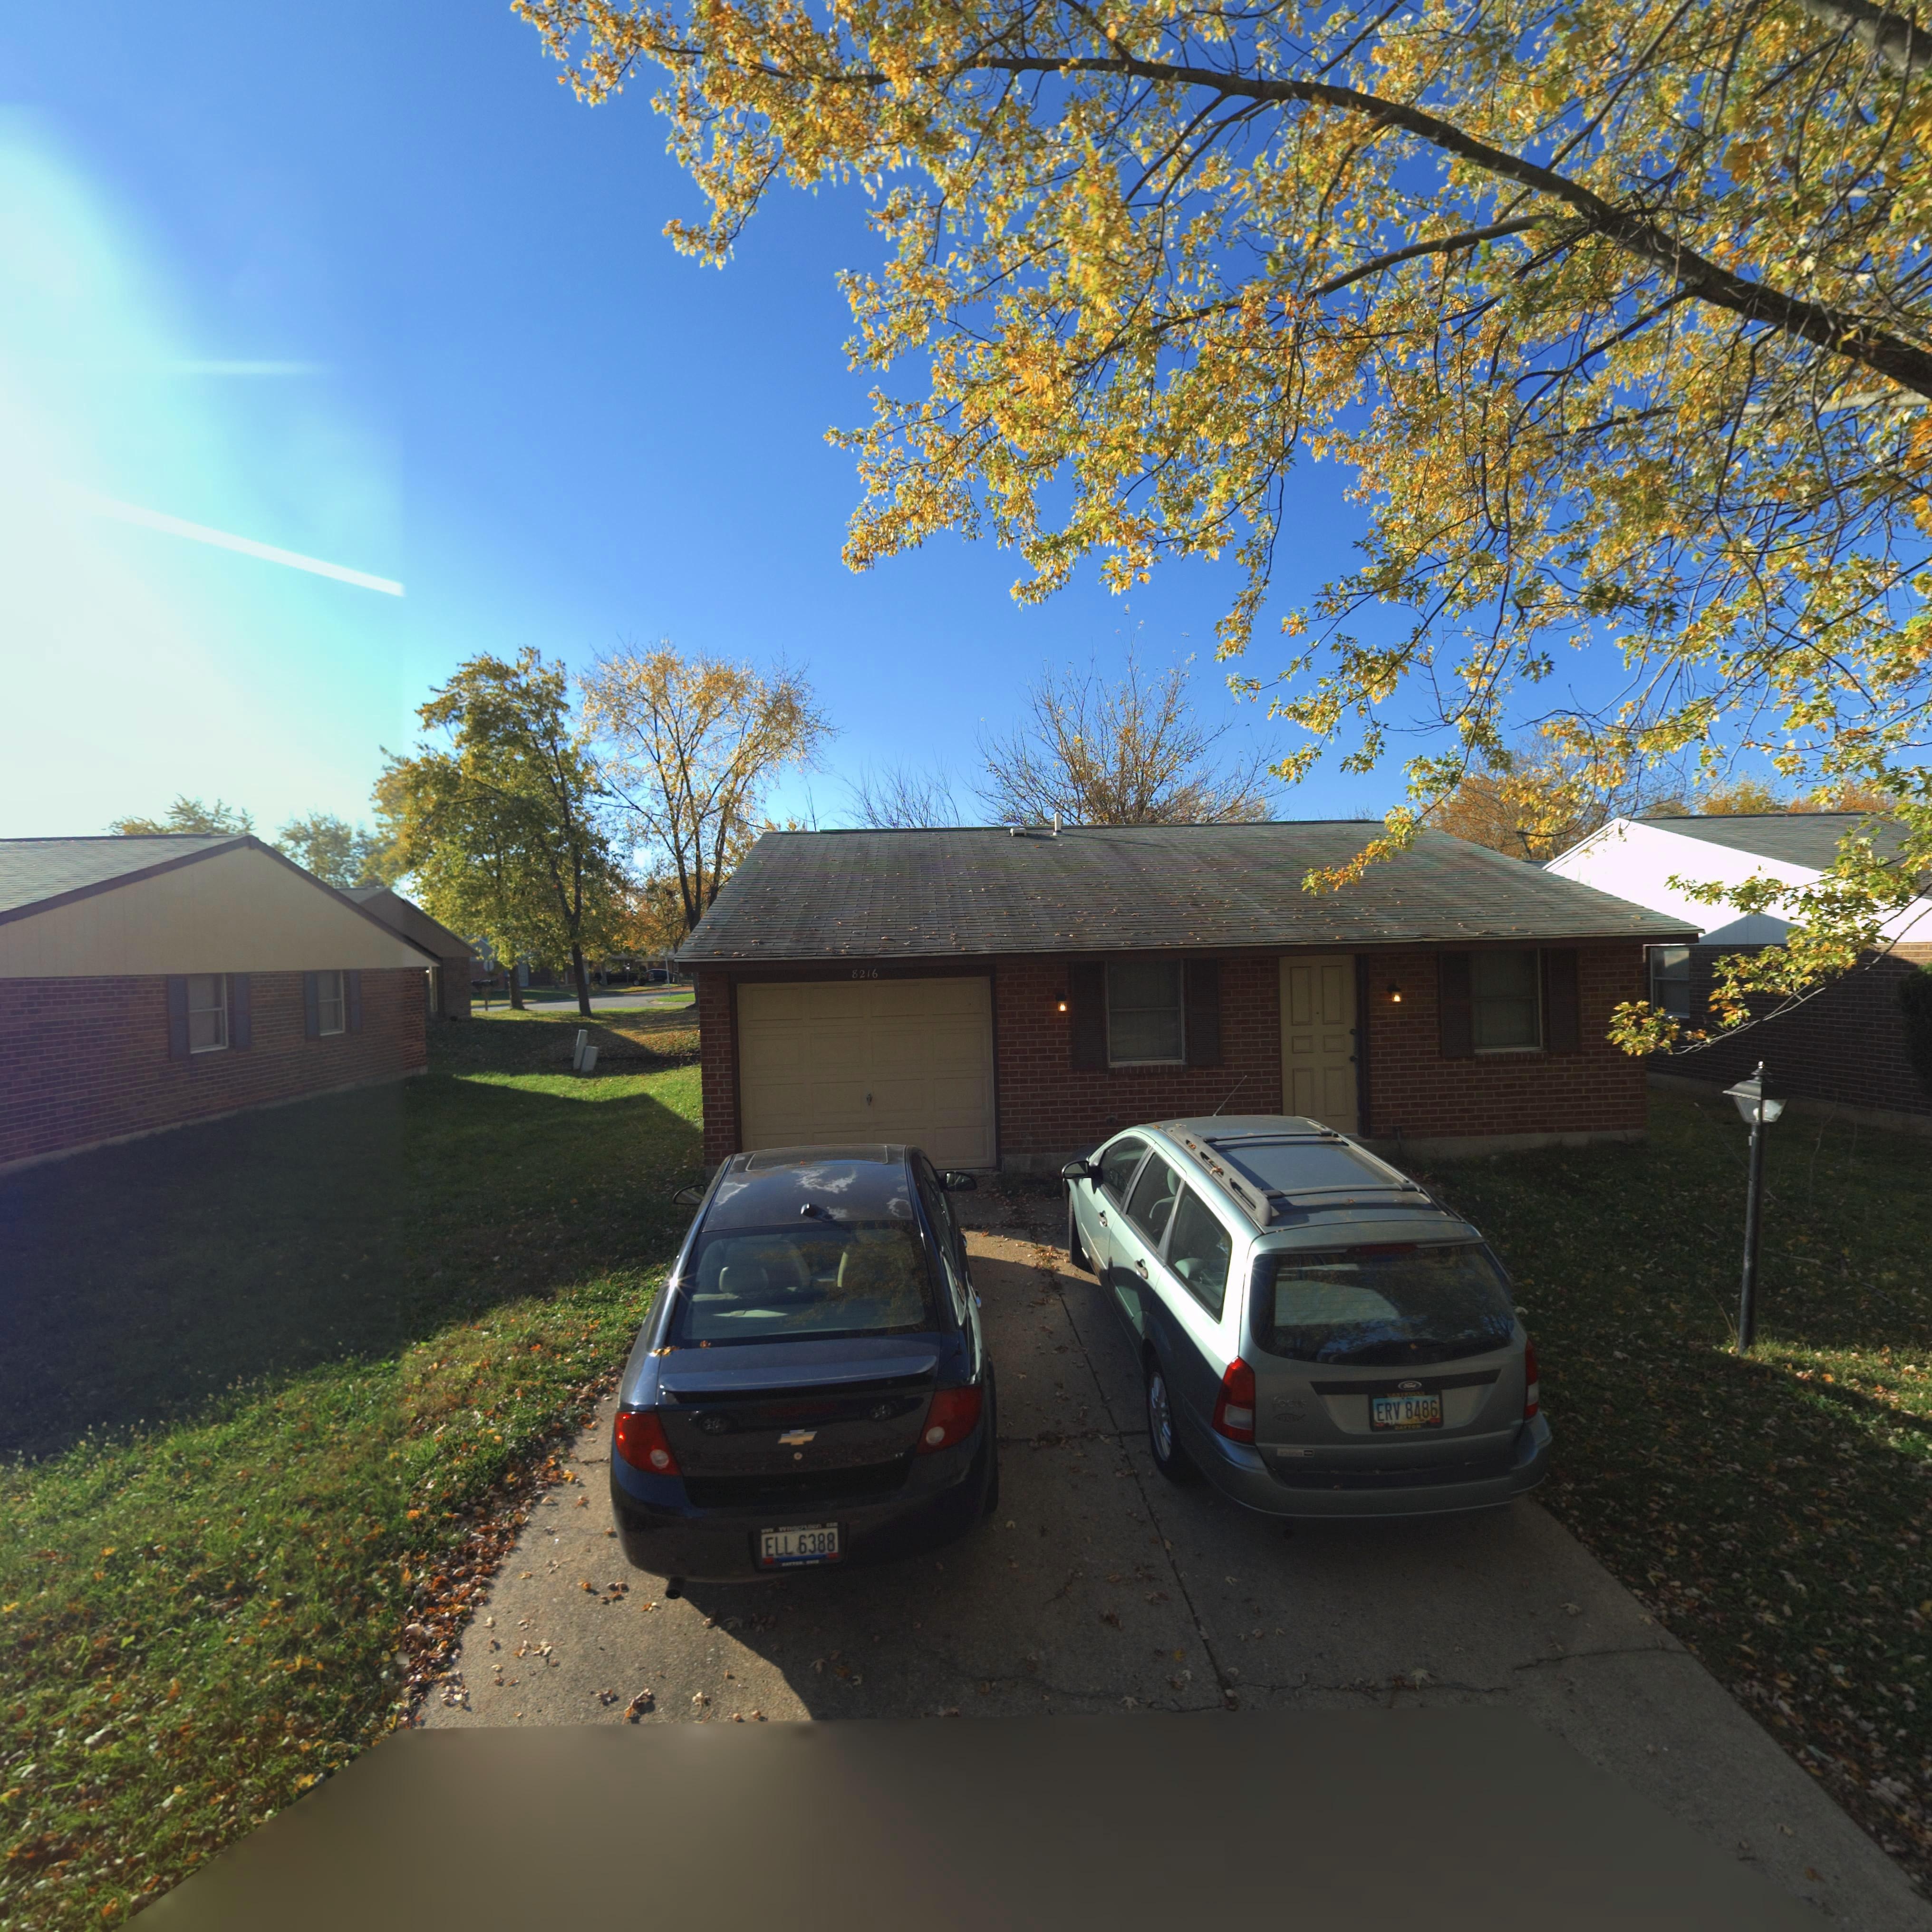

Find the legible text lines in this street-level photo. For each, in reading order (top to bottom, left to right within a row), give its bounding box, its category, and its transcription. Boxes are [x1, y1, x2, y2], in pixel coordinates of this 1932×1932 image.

[851, 967, 878, 979] StreetNumber: 8216